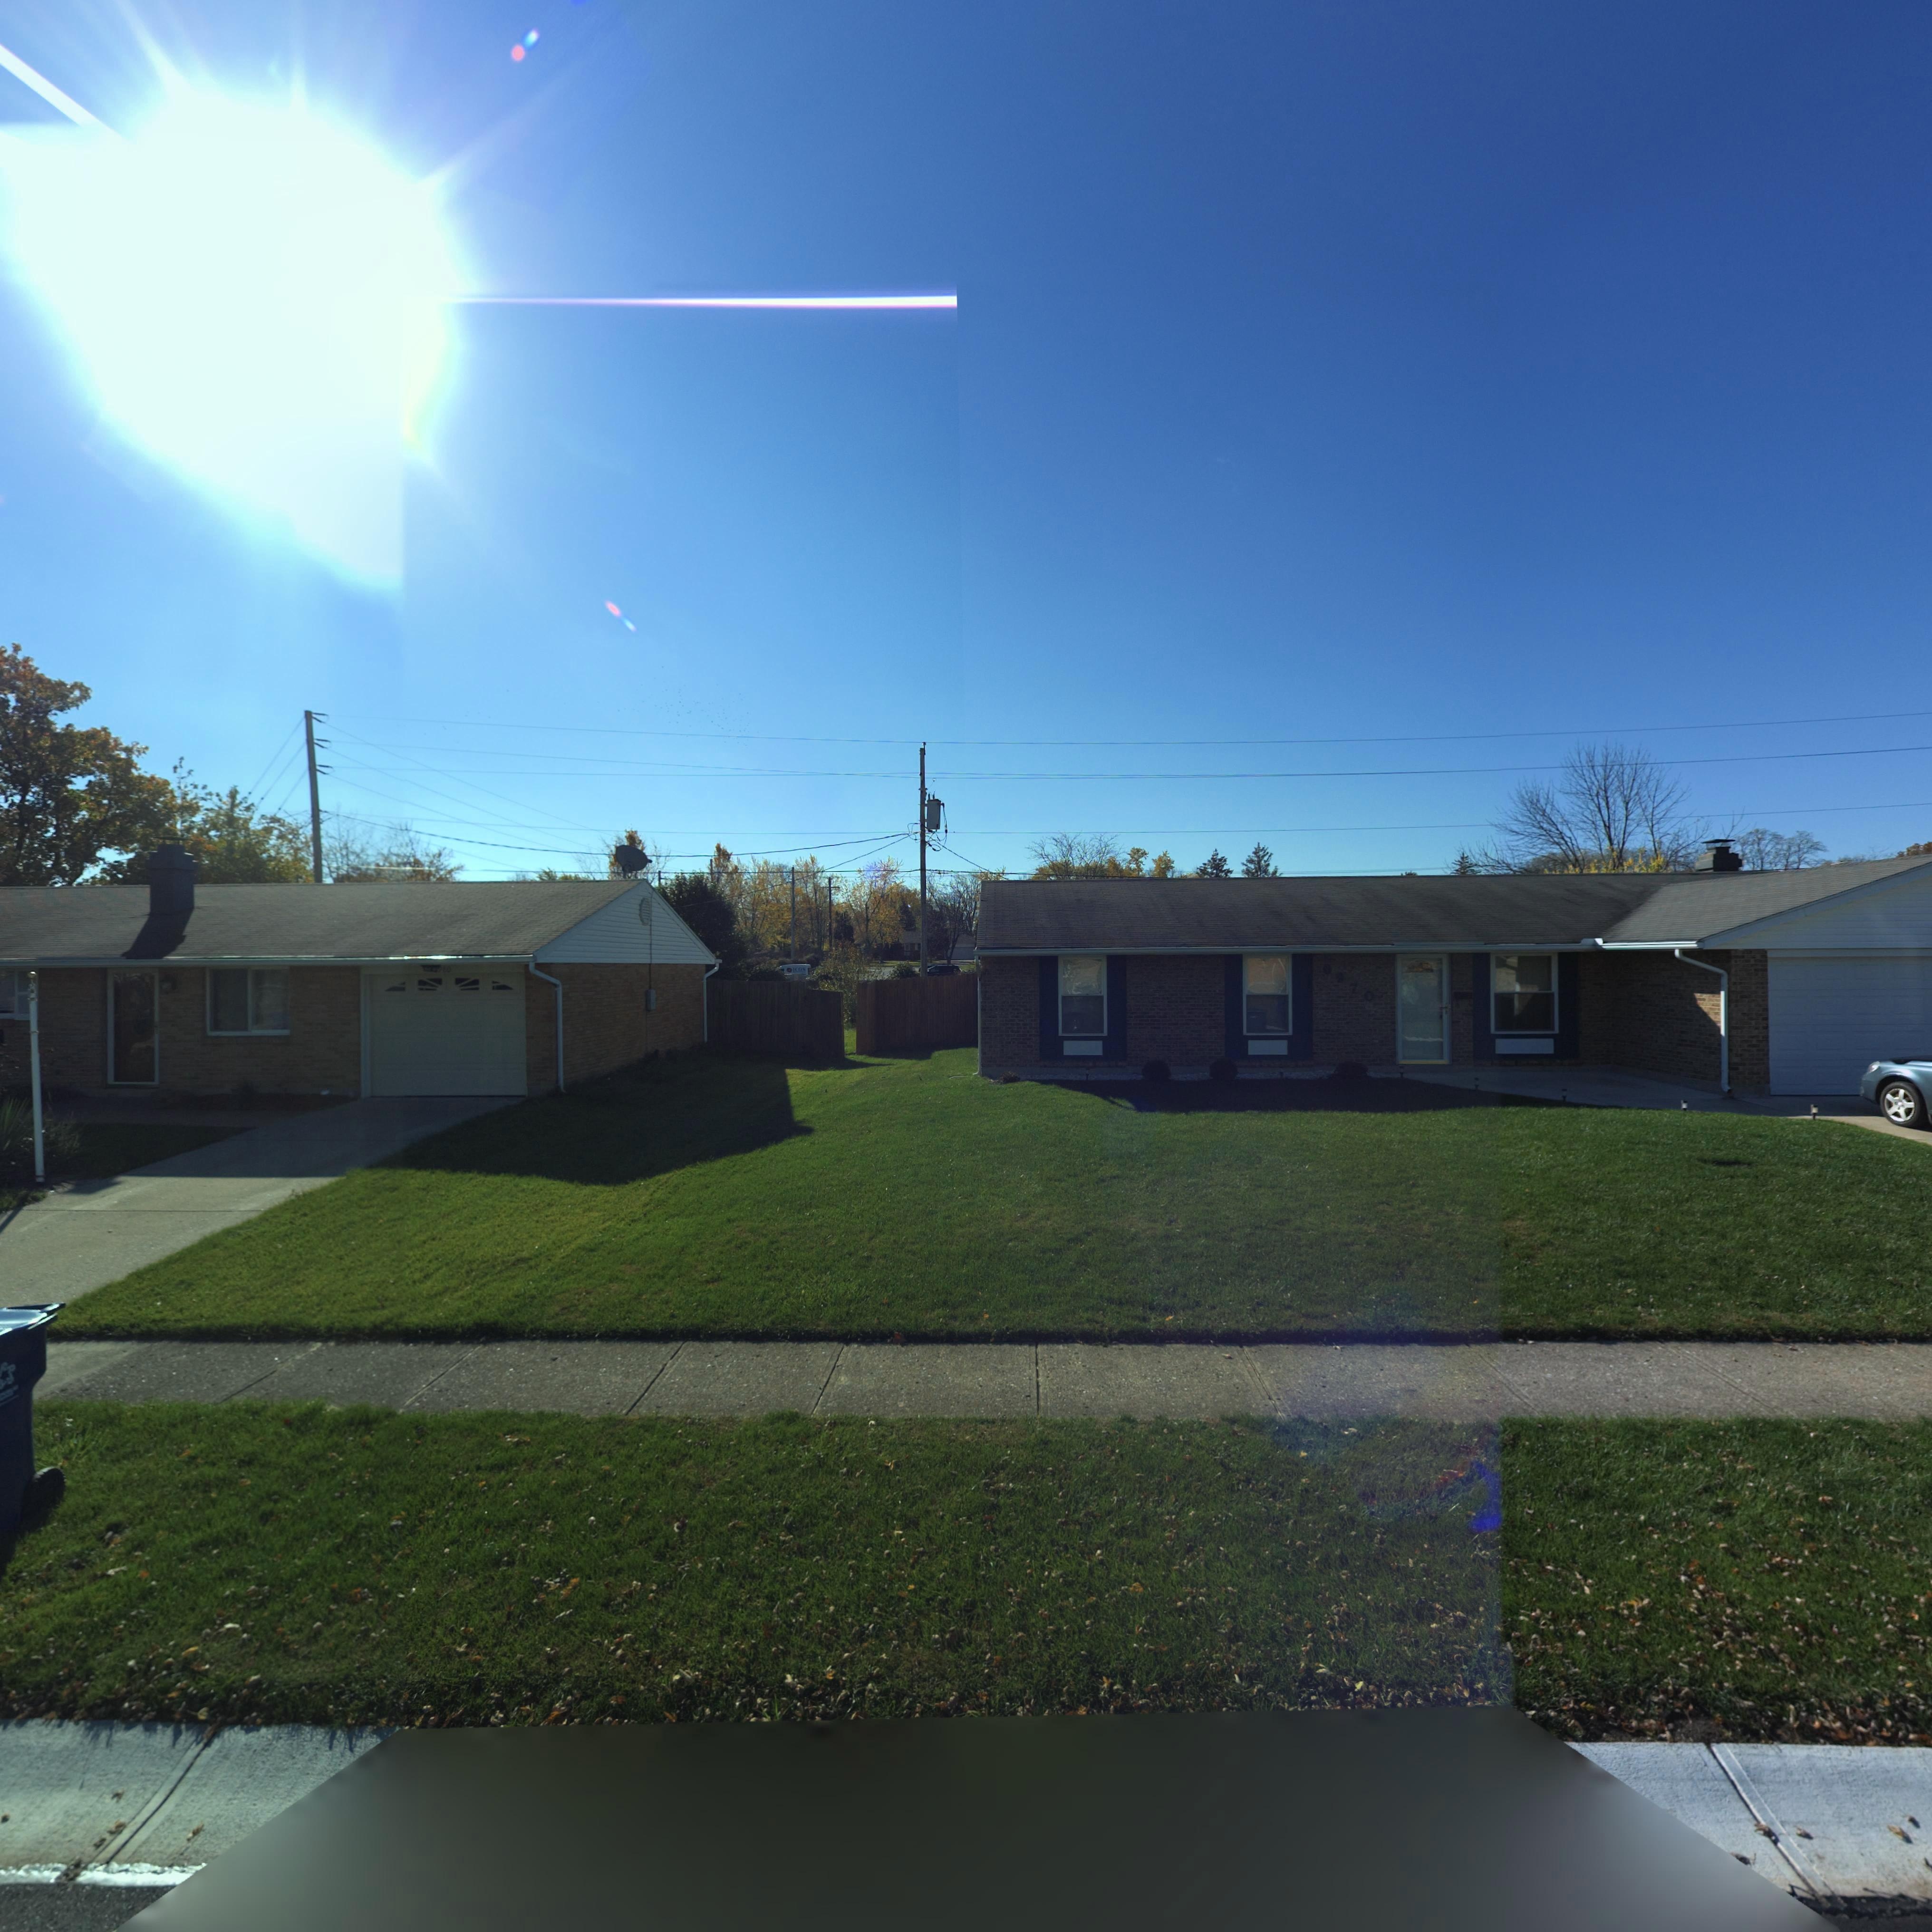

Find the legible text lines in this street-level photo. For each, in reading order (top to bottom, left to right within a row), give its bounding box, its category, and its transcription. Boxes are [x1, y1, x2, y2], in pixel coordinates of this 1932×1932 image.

[441, 965, 452, 974] StreetNumber: 80
[1323, 963, 1375, 1003] StreetNumber: 6970